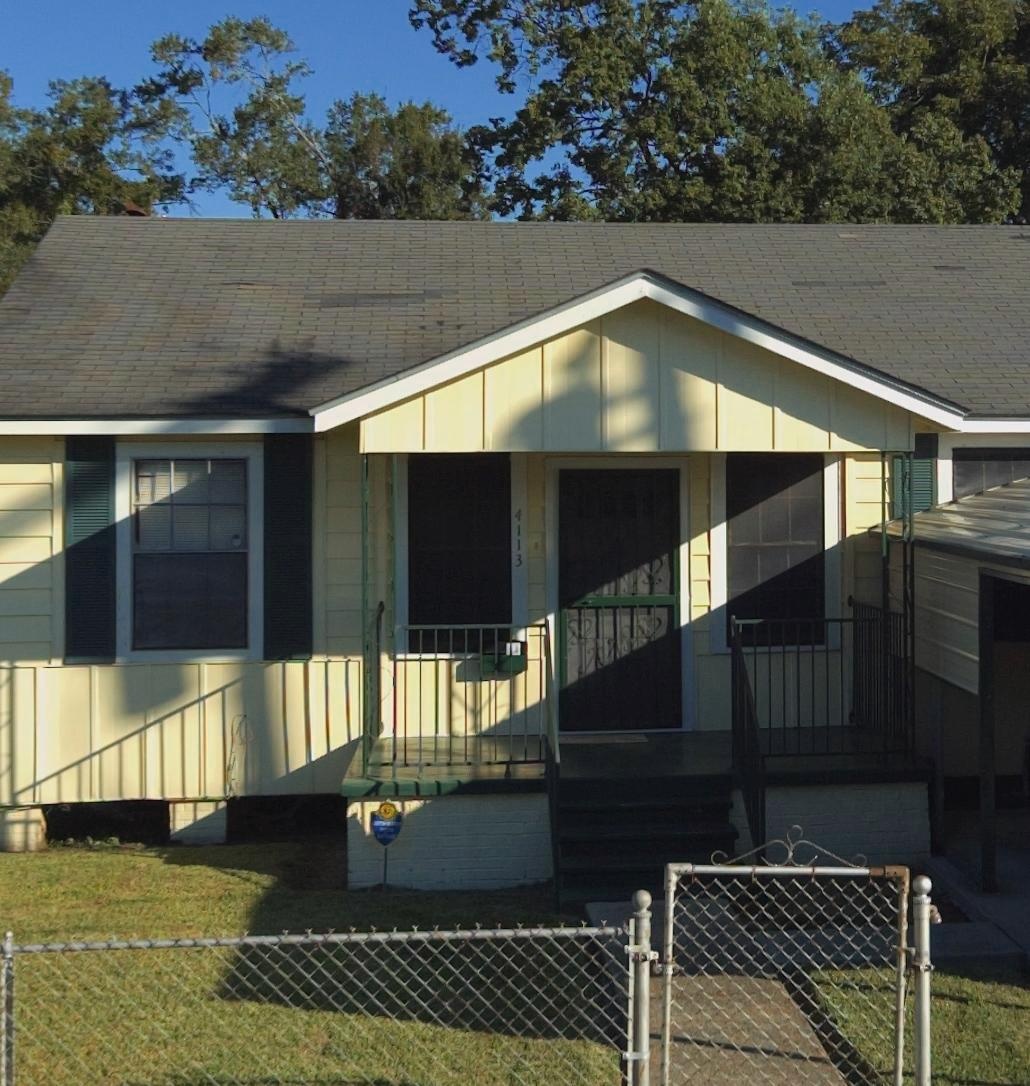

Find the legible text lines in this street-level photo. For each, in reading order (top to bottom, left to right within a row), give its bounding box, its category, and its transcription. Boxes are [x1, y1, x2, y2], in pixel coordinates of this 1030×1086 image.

[513, 506, 524, 569] StreetNumber: 4113